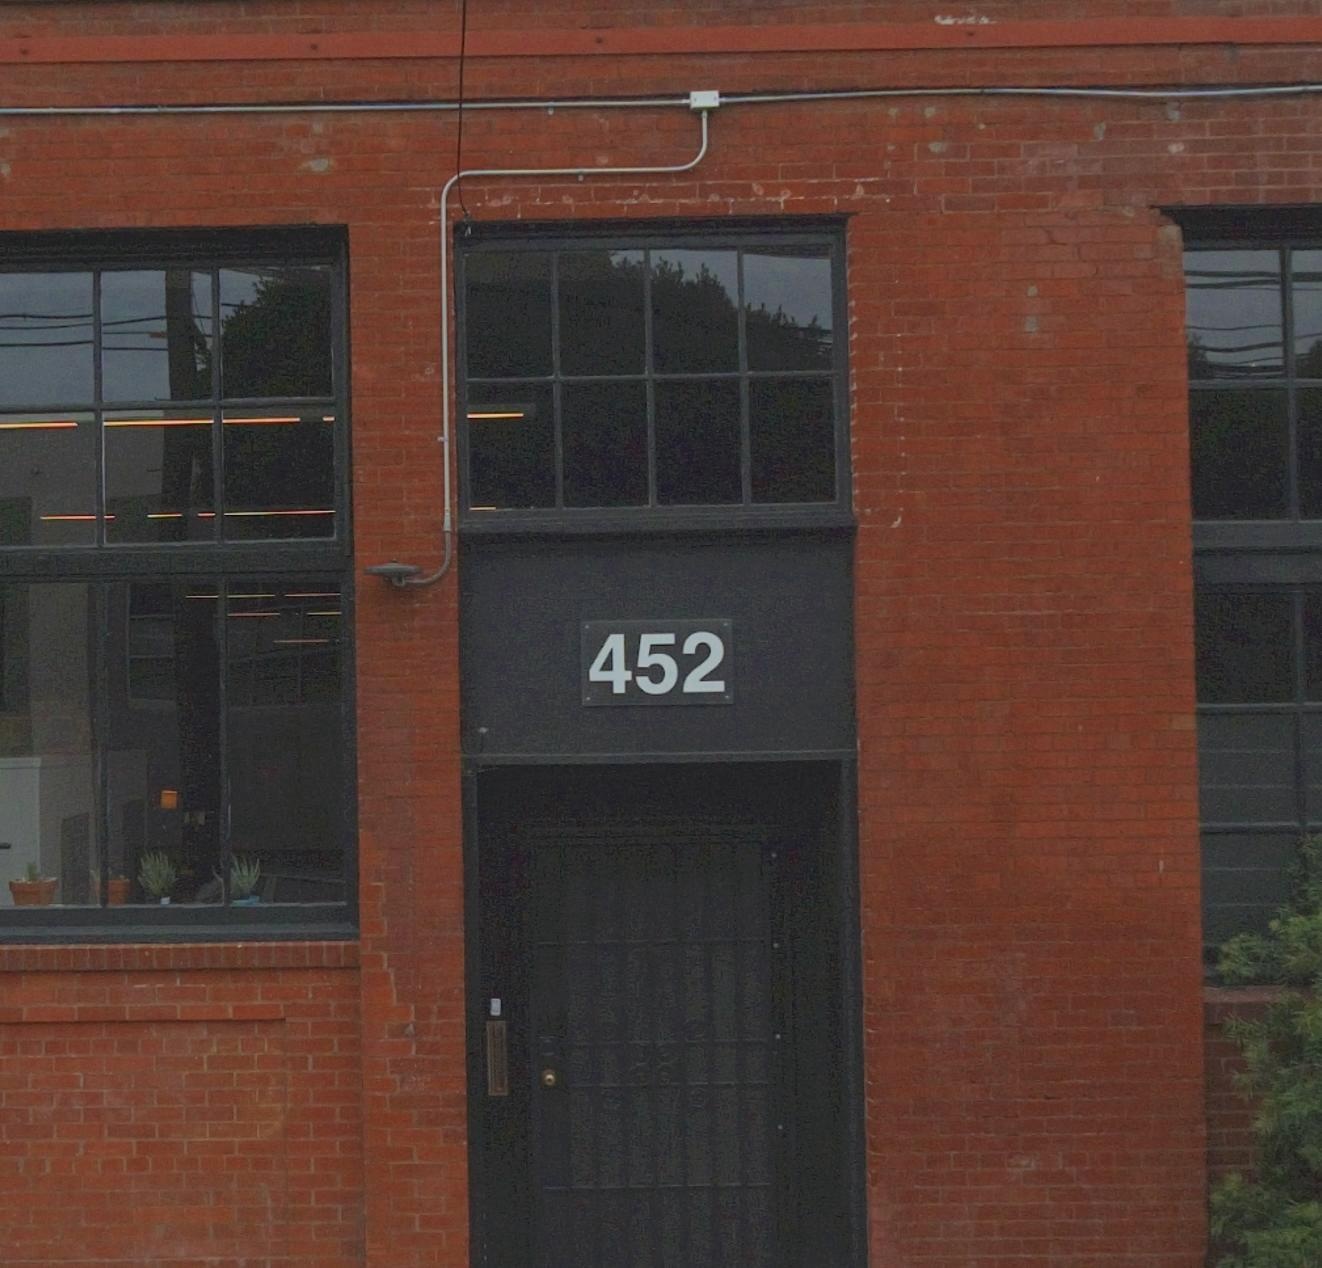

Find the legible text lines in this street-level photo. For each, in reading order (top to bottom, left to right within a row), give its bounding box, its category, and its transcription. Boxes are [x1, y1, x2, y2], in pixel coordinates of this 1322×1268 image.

[585, 630, 727, 697] StreetNumber: 452